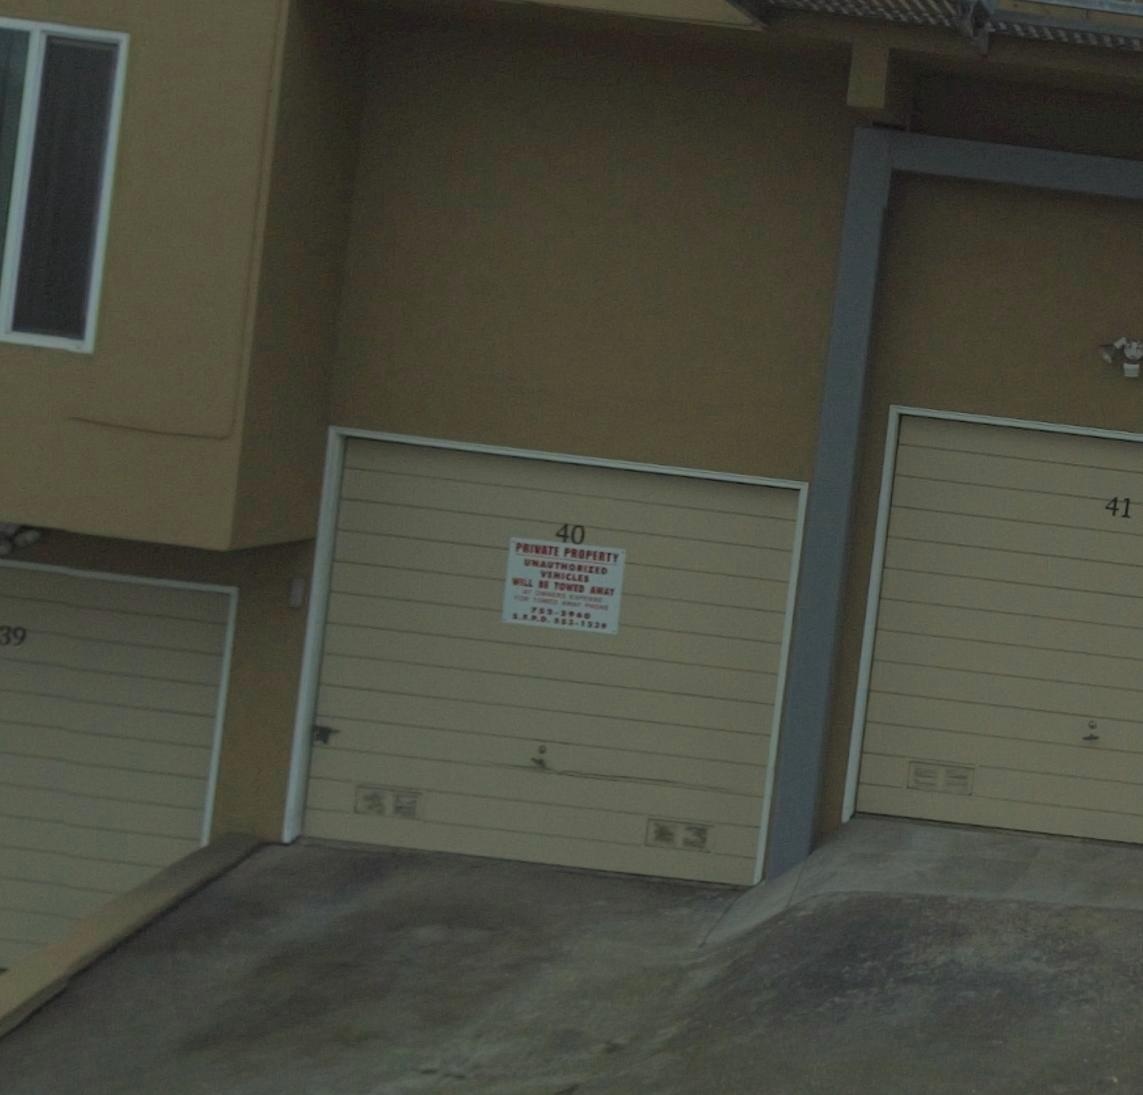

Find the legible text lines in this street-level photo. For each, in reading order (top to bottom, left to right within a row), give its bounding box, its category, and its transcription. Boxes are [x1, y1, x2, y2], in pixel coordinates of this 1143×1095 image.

[1101, 491, 1135, 523] StreetNumber: 41
[550, 518, 588, 547] StreetNumber: 40
[514, 541, 620, 565] None: PRIVATE PROPERTY
[510, 576, 618, 598] None: WILL BE TOWED AWAY
[521, 557, 608, 576] None: UNAUTHORIZED
[539, 568, 591, 584] None: VEHICLES
[511, 611, 551, 626] None: S.F.P.D.
[529, 604, 592, 621] None: 7**-3*65
[0, 622, 32, 650] StreetNumber: 39